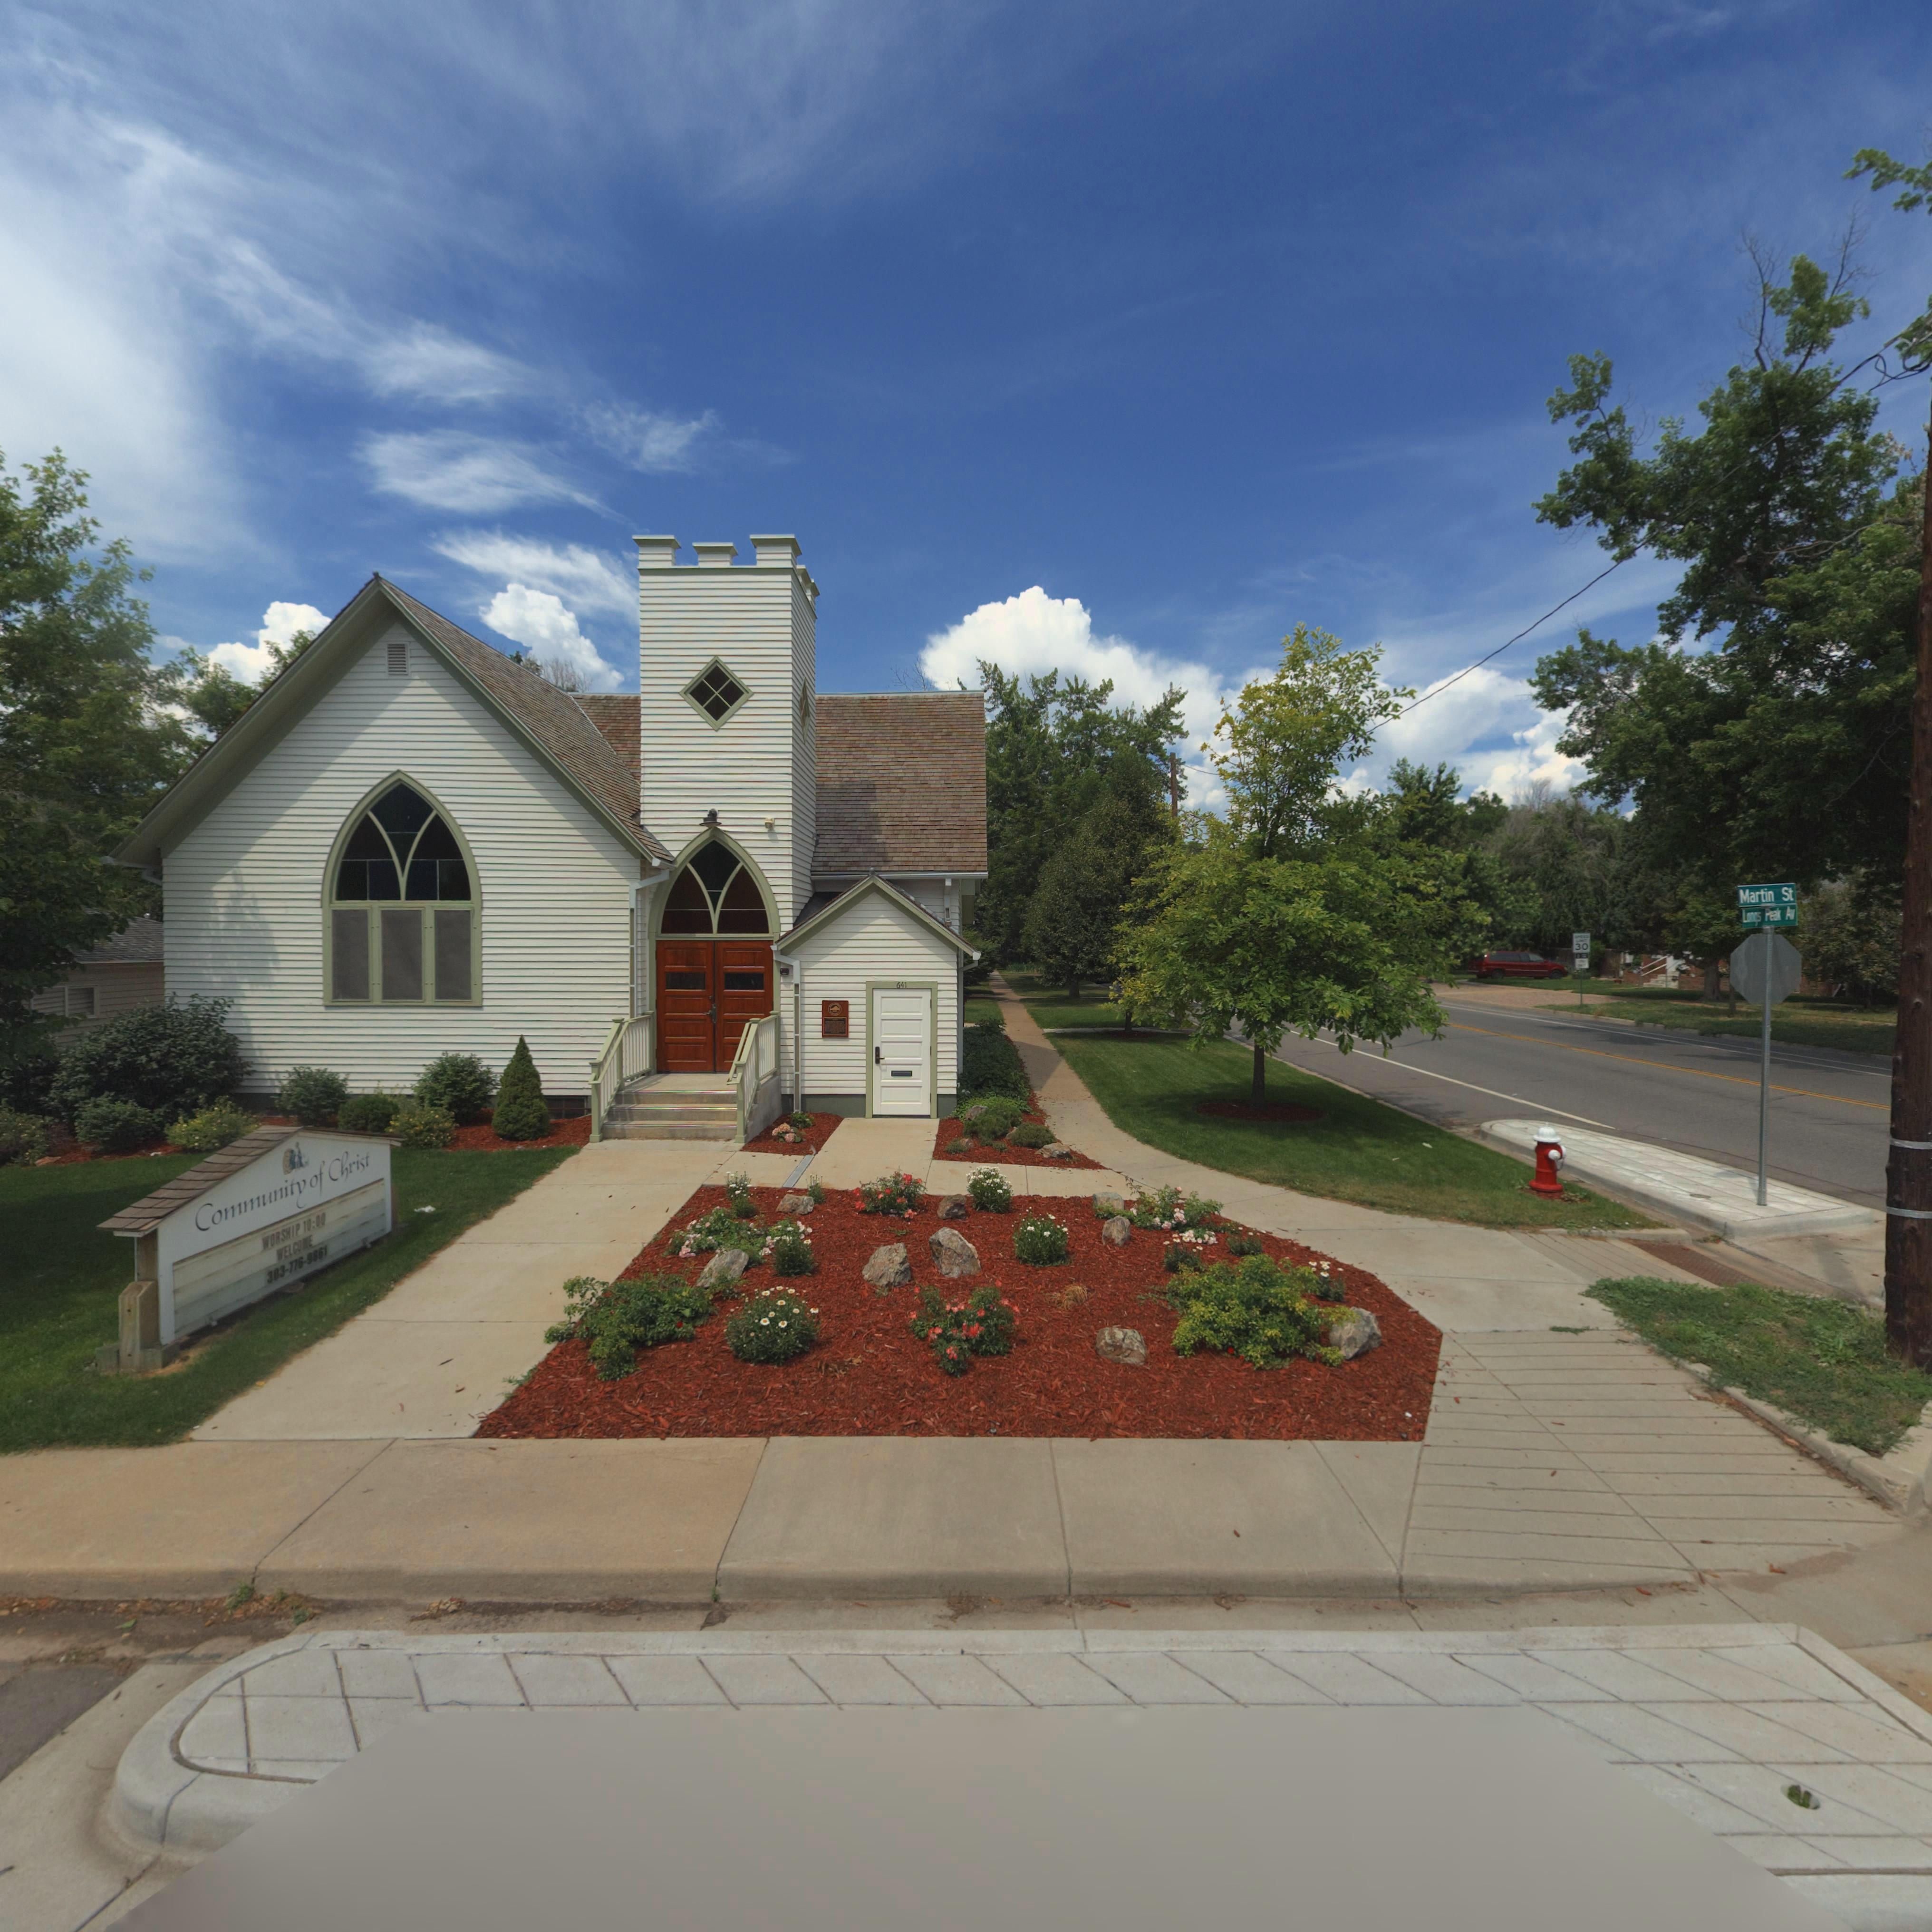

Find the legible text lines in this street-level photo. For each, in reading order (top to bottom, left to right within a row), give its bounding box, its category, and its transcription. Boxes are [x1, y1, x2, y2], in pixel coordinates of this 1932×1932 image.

[1739, 887, 1794, 904] StreetName: Martin St
[1742, 906, 1796, 927] StreetName: Longs Peak Av
[896, 981, 907, 988] StreetNumber: 641
[194, 1150, 371, 1232] BusinessName: Community of Christ 